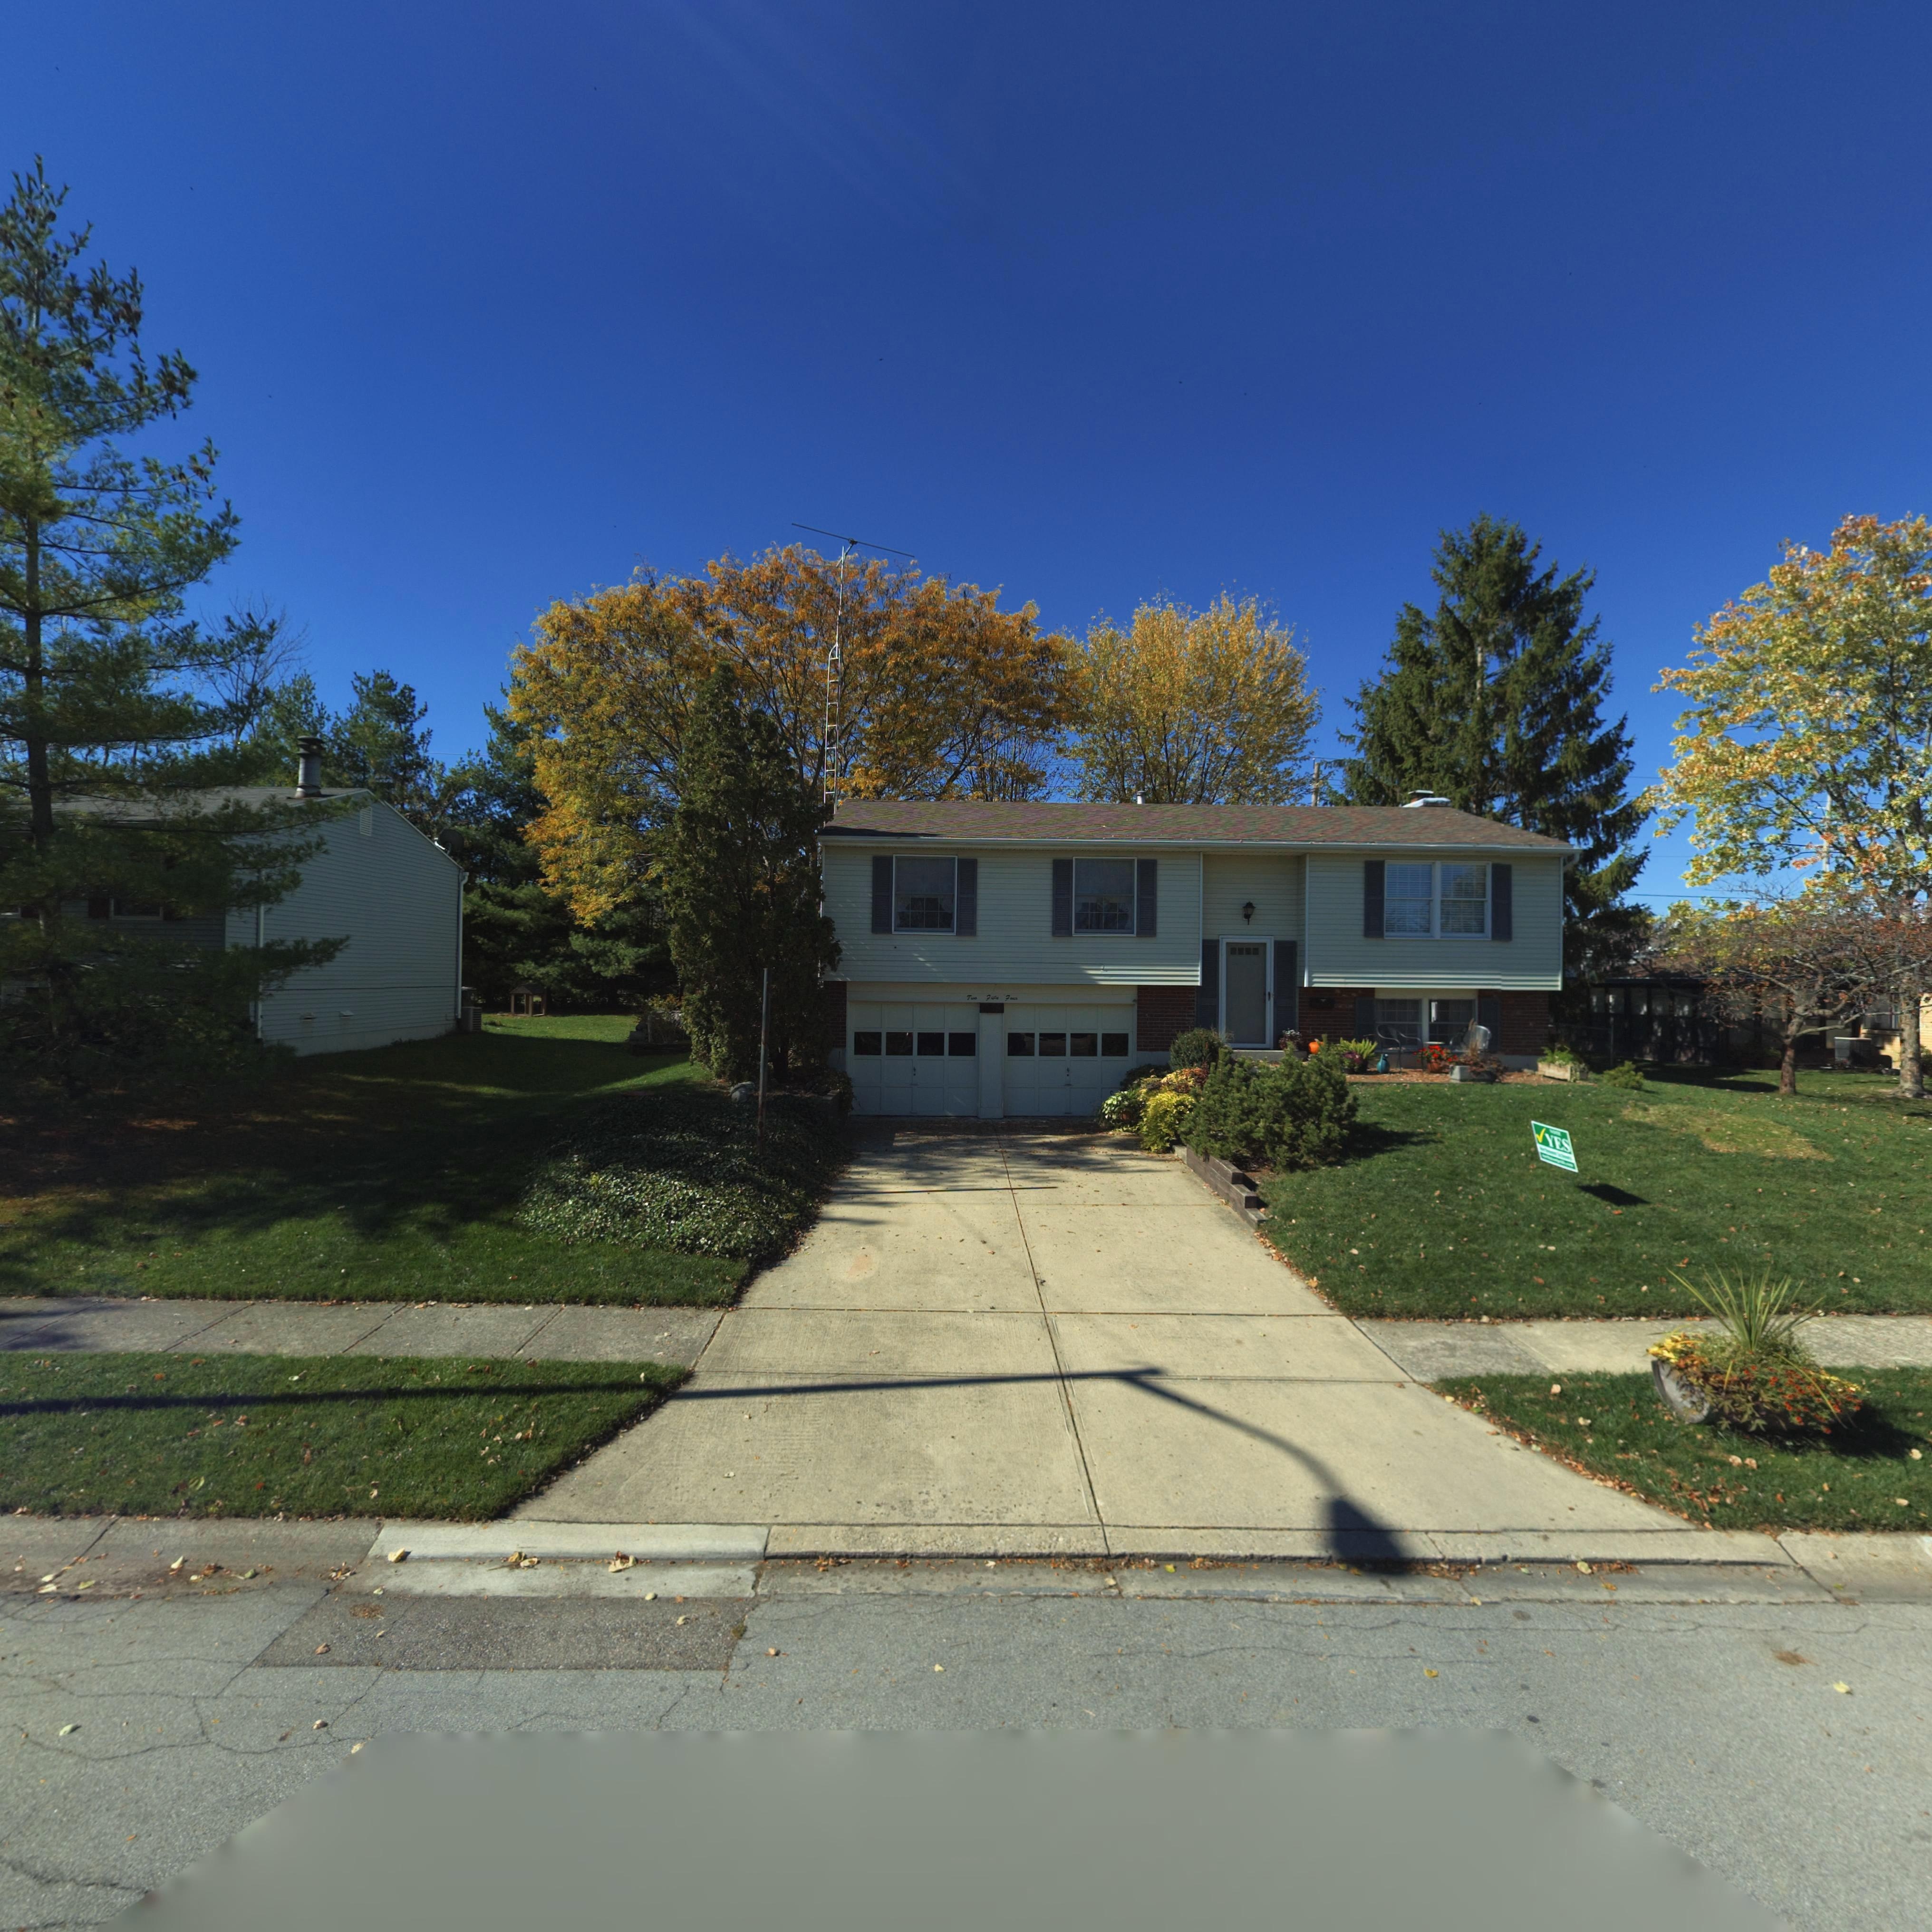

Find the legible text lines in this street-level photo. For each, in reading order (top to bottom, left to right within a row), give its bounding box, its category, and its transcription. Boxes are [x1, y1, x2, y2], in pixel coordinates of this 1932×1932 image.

[966, 993, 1019, 1002] StreetNumber: Two F**** Four